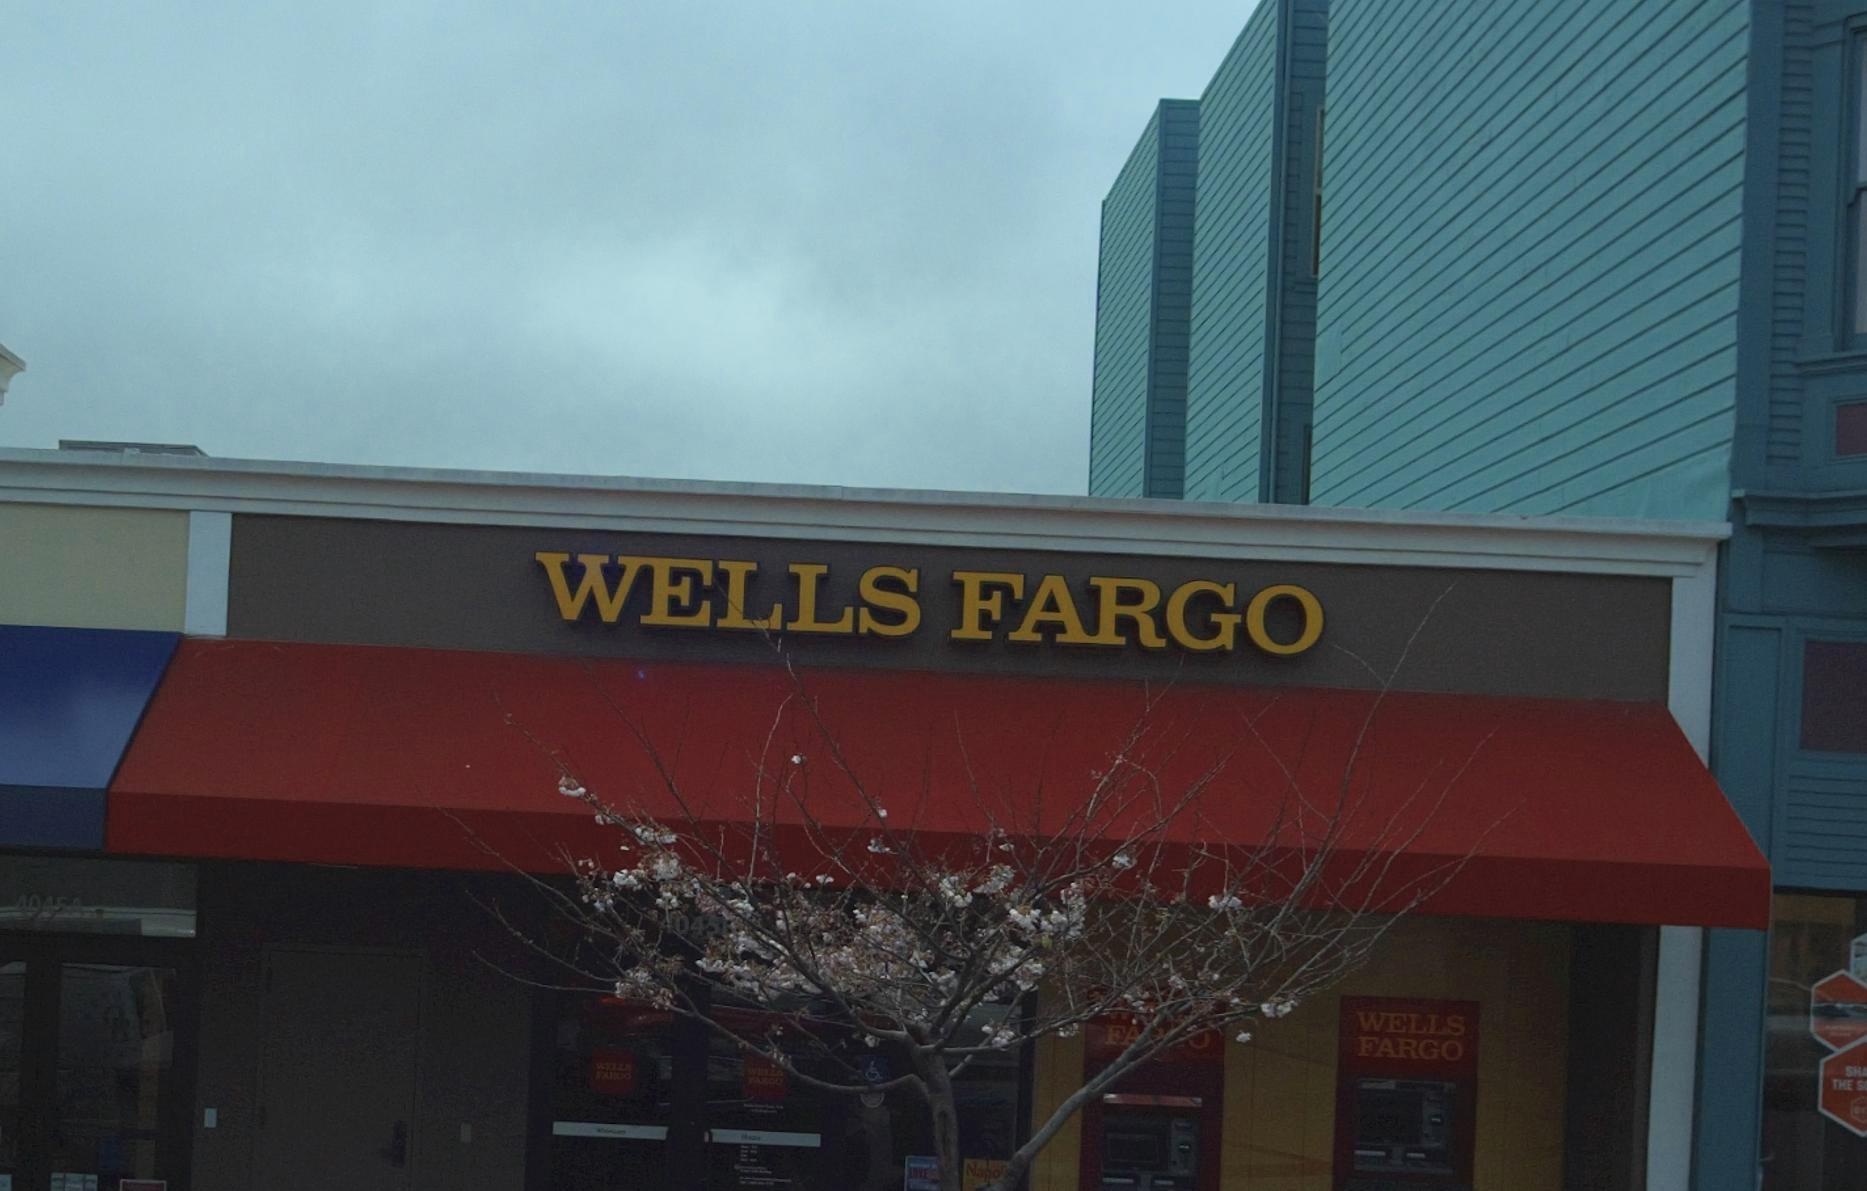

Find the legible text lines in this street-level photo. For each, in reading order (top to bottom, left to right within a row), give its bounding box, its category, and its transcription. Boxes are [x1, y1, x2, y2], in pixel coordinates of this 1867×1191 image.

[532, 547, 1327, 660] BusinessName: WELLS FARGO
[14, 892, 87, 918] StreetNumber: 4045A
[657, 913, 740, 937] StreetNumber: 4045B
[1353, 1009, 1467, 1036] BusinessName: WELLS
[1103, 1022, 1127, 1047] None: F
[1354, 1034, 1465, 1062] BusinessName: FARGO
[594, 1060, 633, 1071] BusinessName: WELLS
[594, 1070, 633, 1082] BusinessName: FAR*O
[747, 1066, 785, 1077] BusinessName: WELL*
[747, 1076, 785, 1086] BusinessName: FARGO
[1830, 1077, 1864, 1092] None: THE S
[1843, 1063, 1863, 1079] None: SH
[907, 1165, 930, 1182] None: LOVE
[964, 1160, 1002, 1183] None: Napo